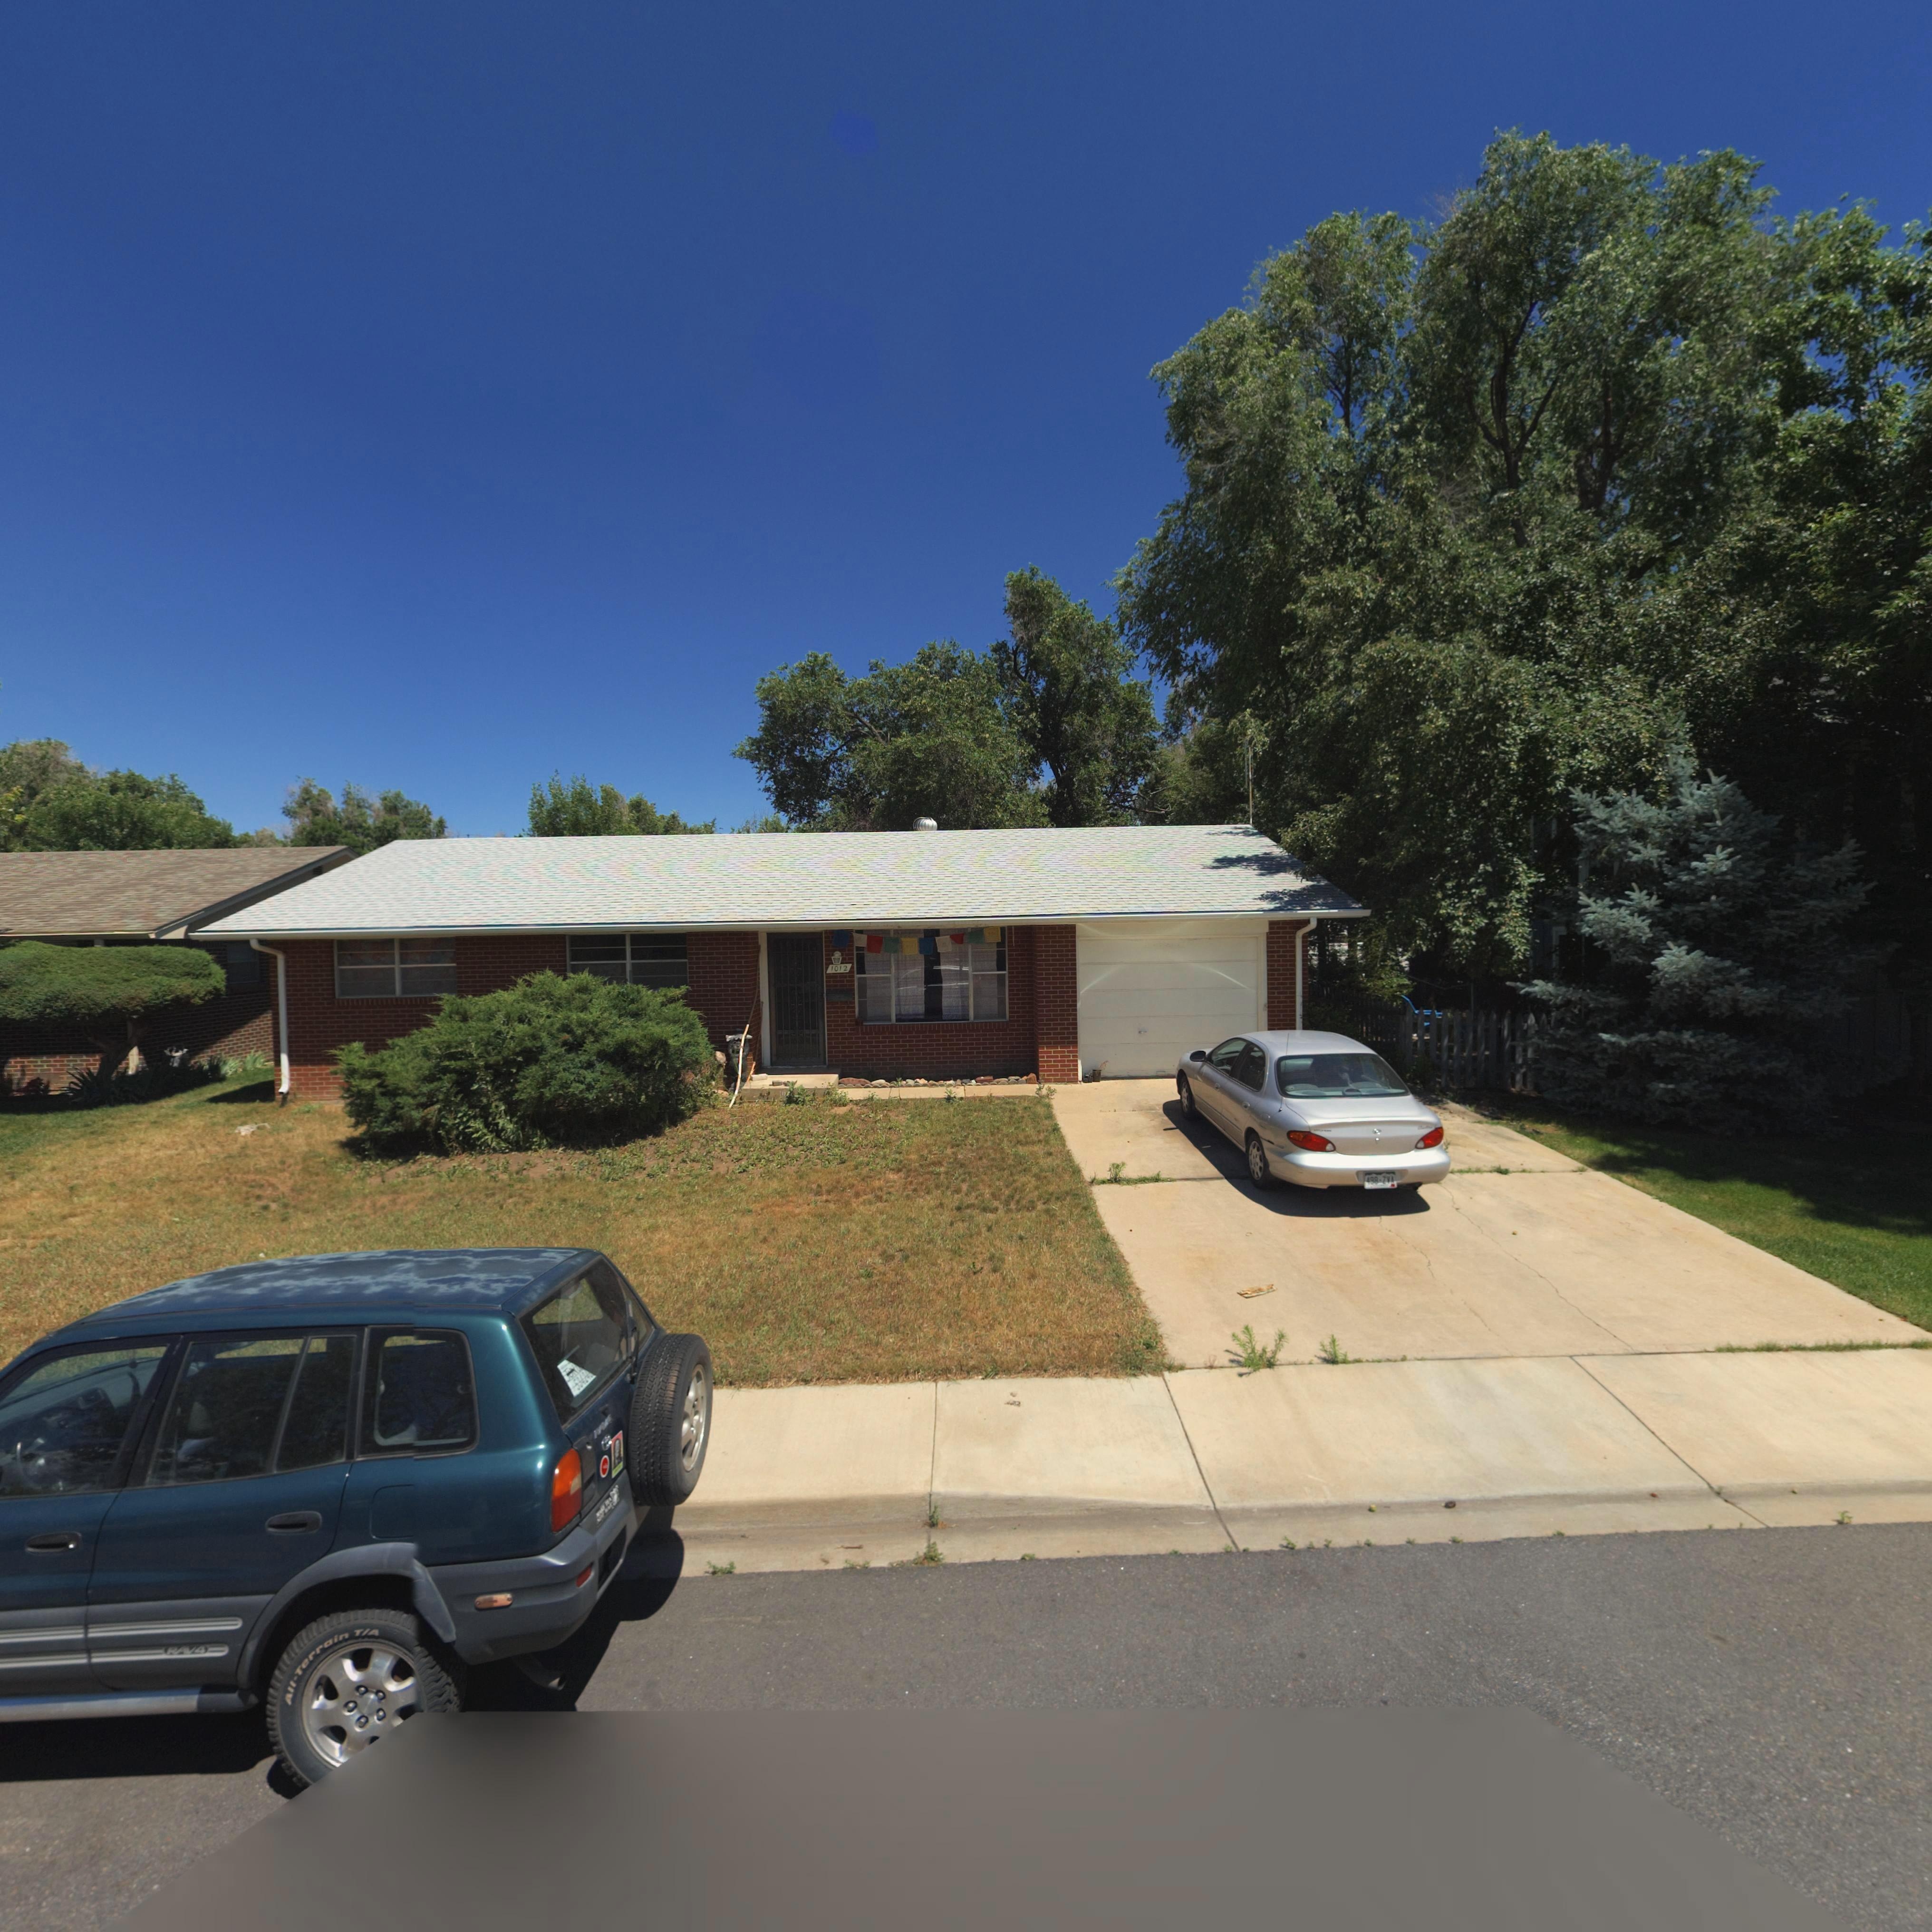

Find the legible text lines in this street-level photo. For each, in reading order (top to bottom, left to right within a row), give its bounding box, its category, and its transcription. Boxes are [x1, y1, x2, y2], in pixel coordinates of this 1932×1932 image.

[831, 965, 848, 972] StreetNumber: 1012